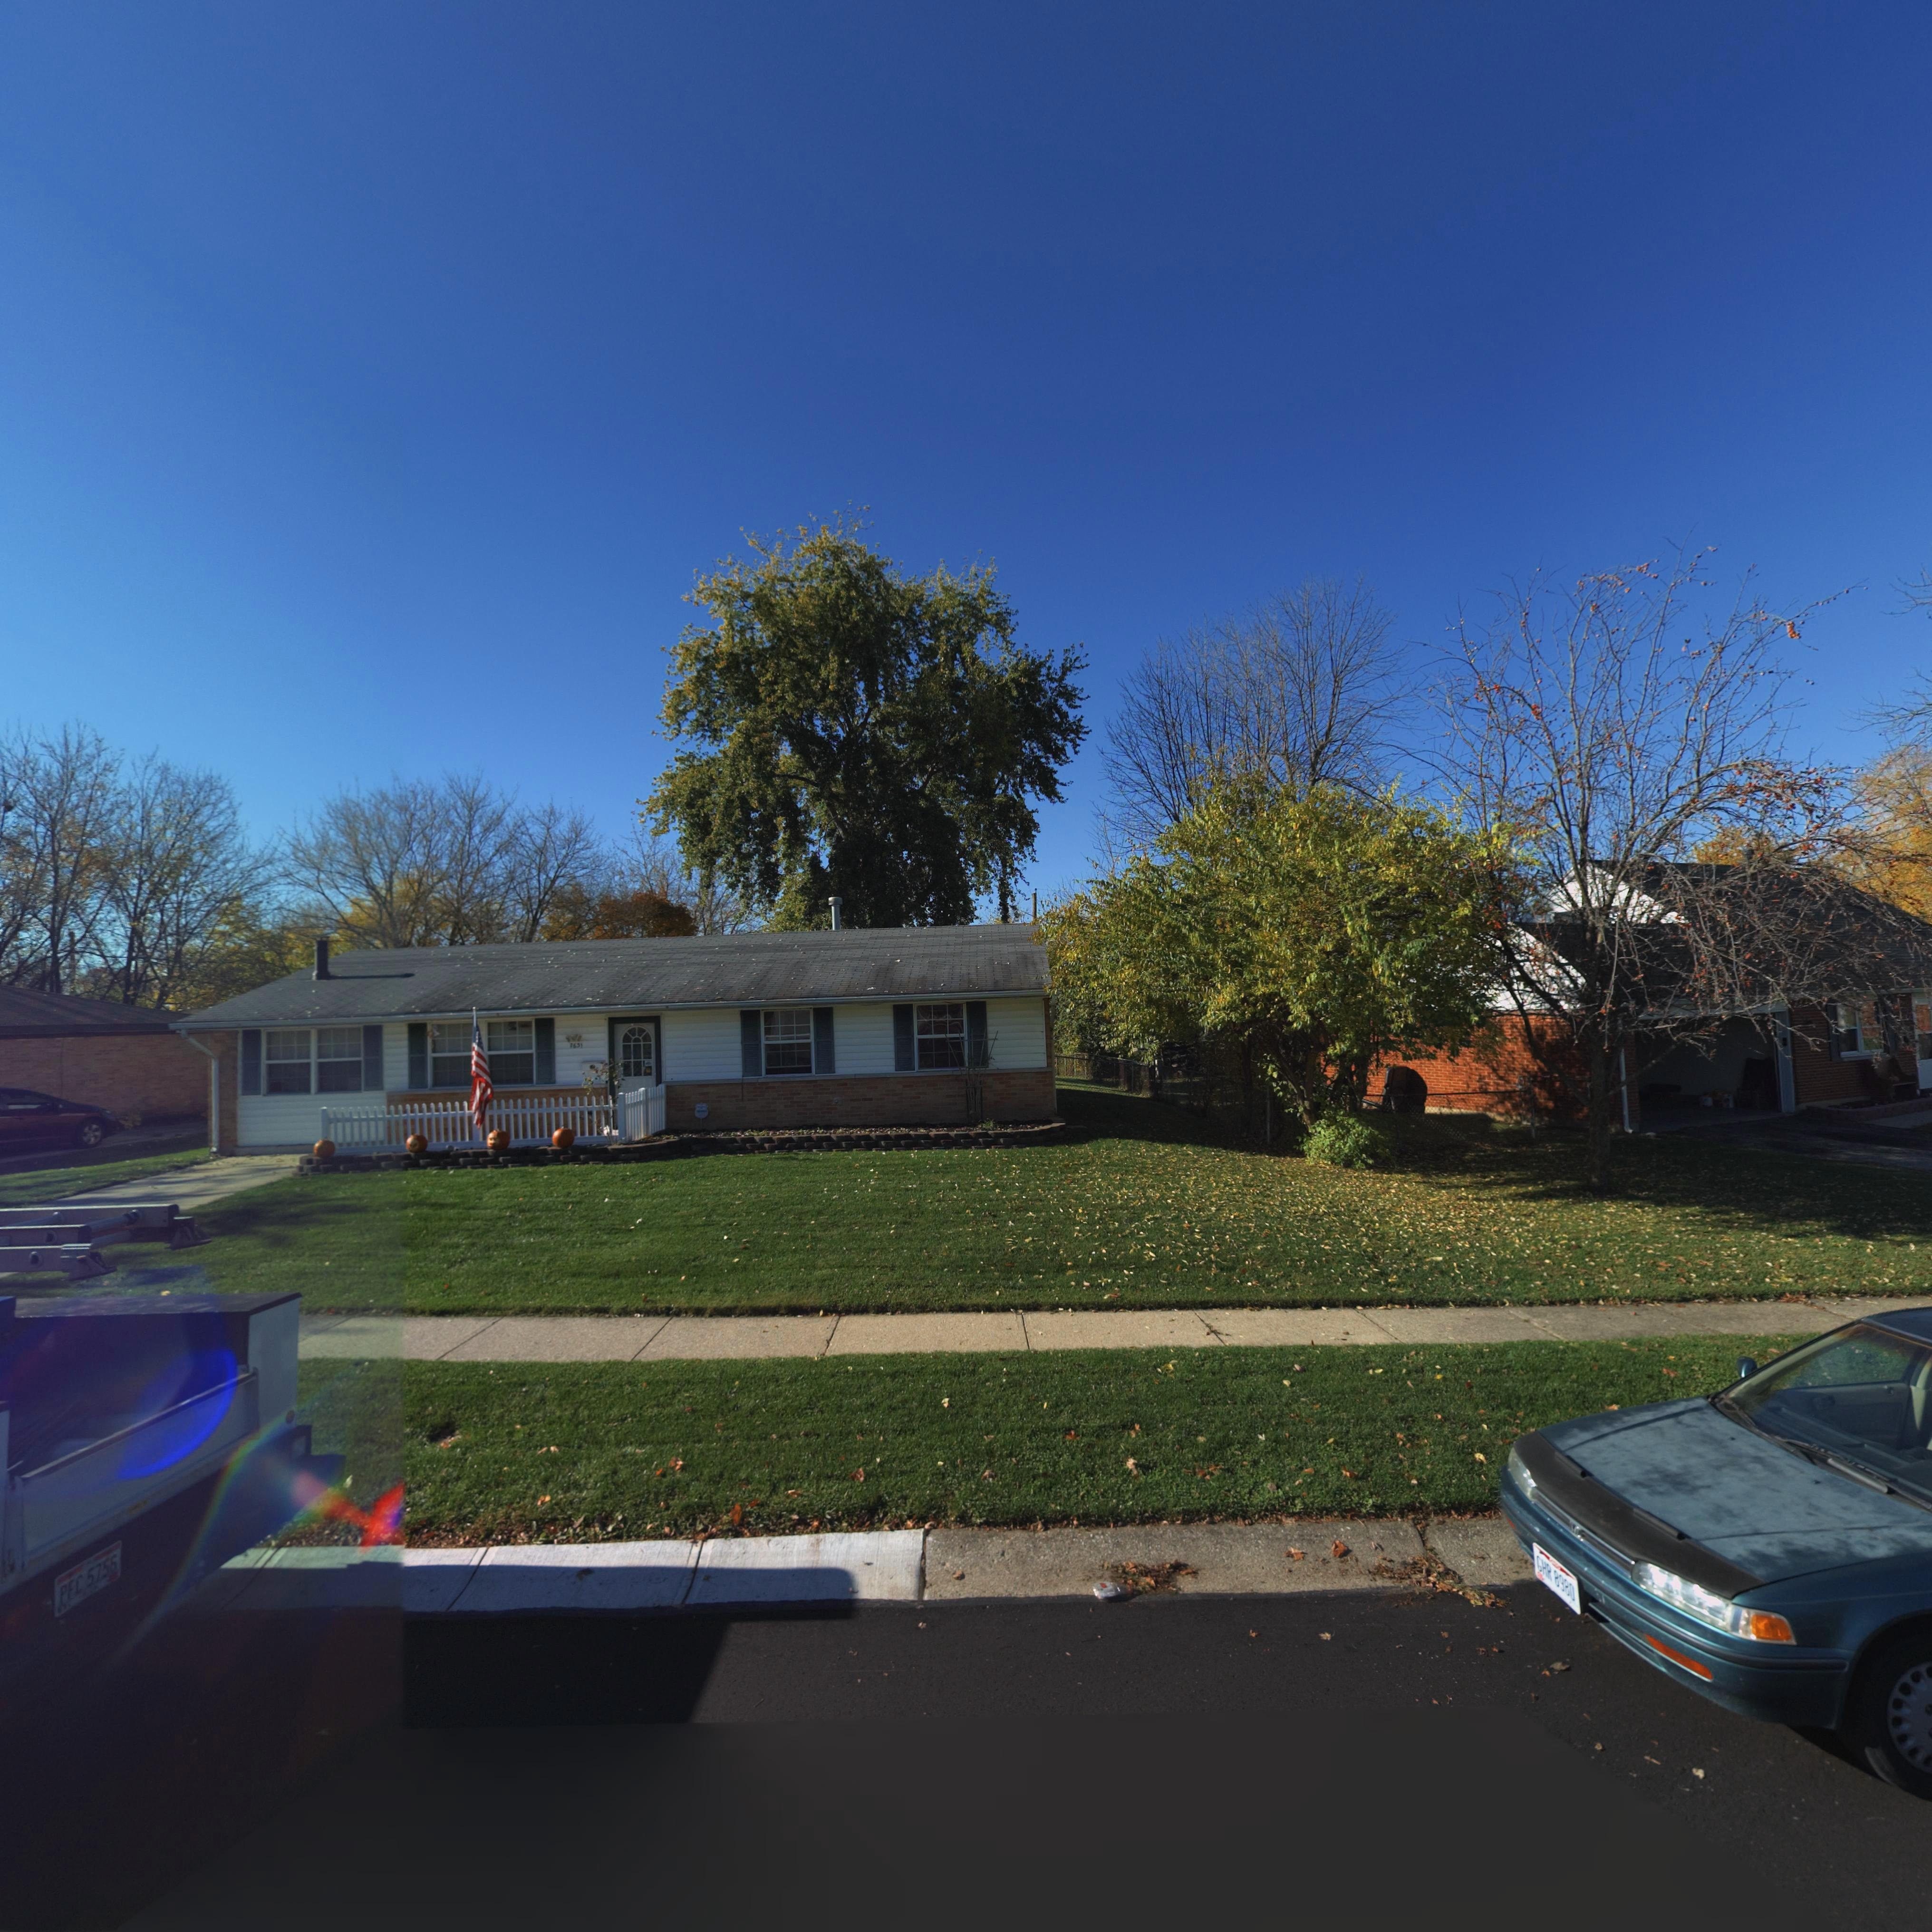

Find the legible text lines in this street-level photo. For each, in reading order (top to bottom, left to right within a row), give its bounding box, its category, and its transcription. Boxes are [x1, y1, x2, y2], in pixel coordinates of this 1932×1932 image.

[569, 1042, 584, 1050] StreetNumber: 7631